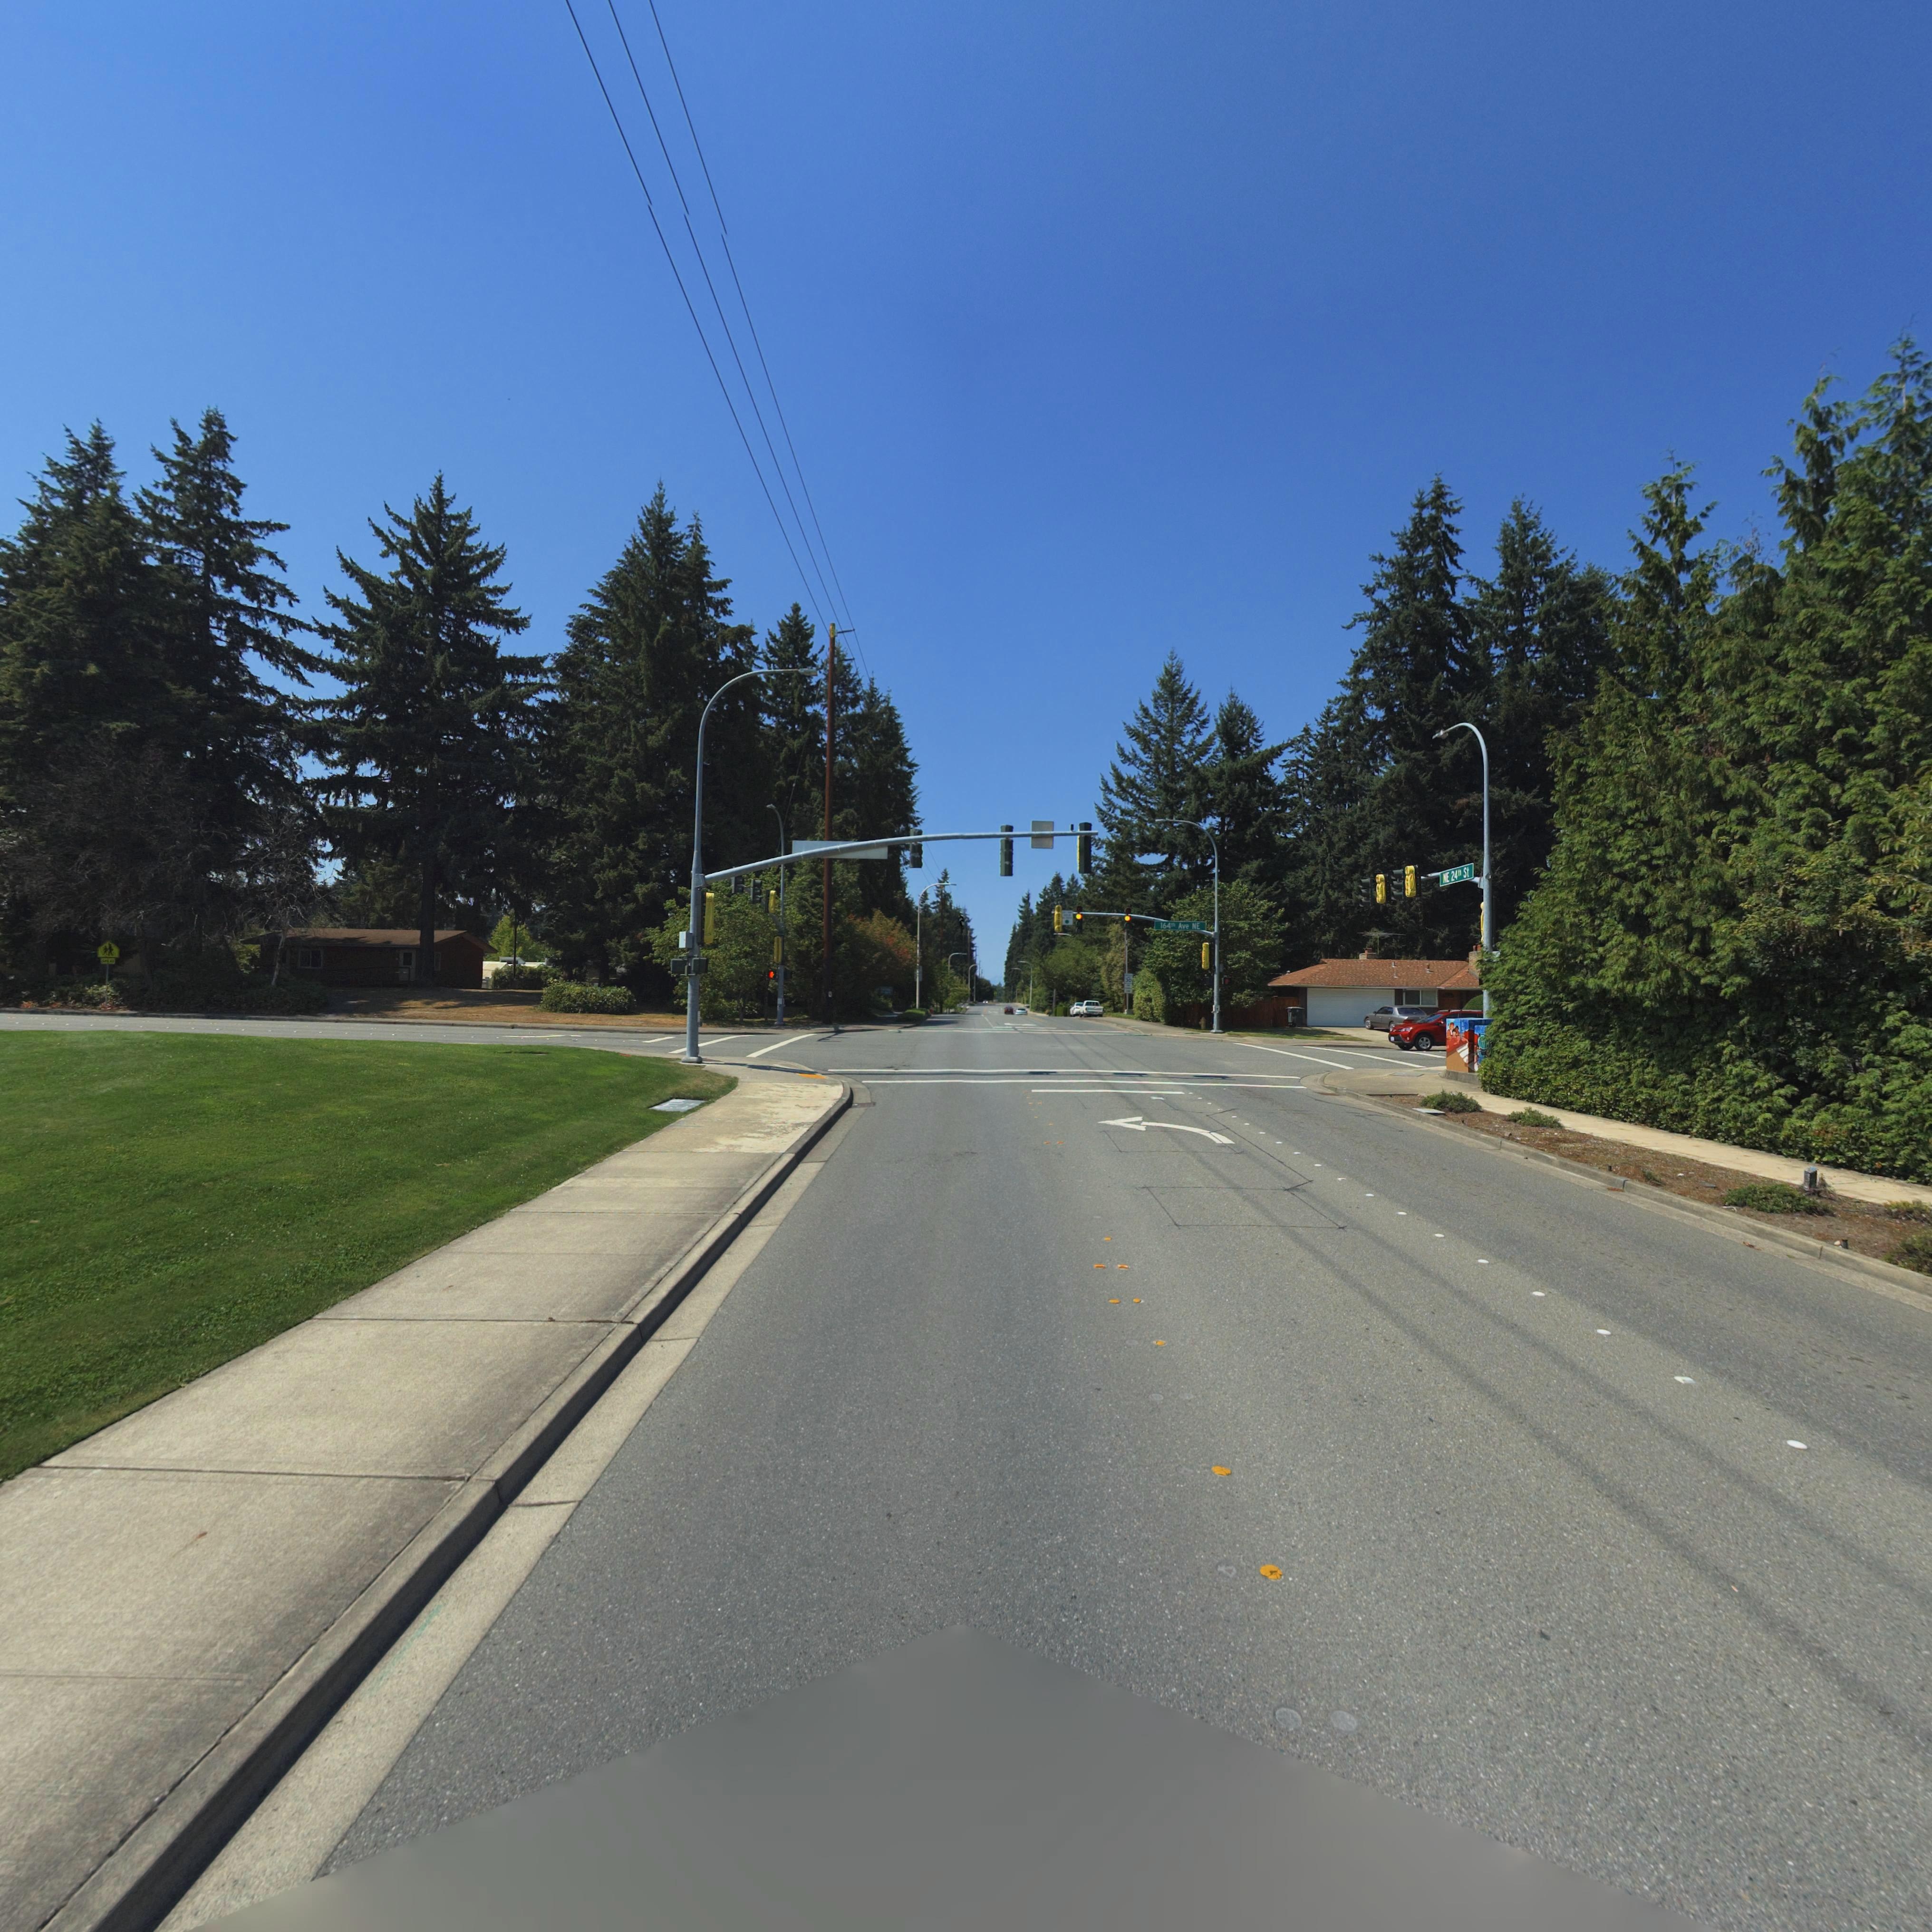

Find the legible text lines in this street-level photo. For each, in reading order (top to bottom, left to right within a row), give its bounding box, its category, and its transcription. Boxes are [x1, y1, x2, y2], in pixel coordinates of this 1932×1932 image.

[1160, 922, 1199, 929] StreetName: 164** Ave NE